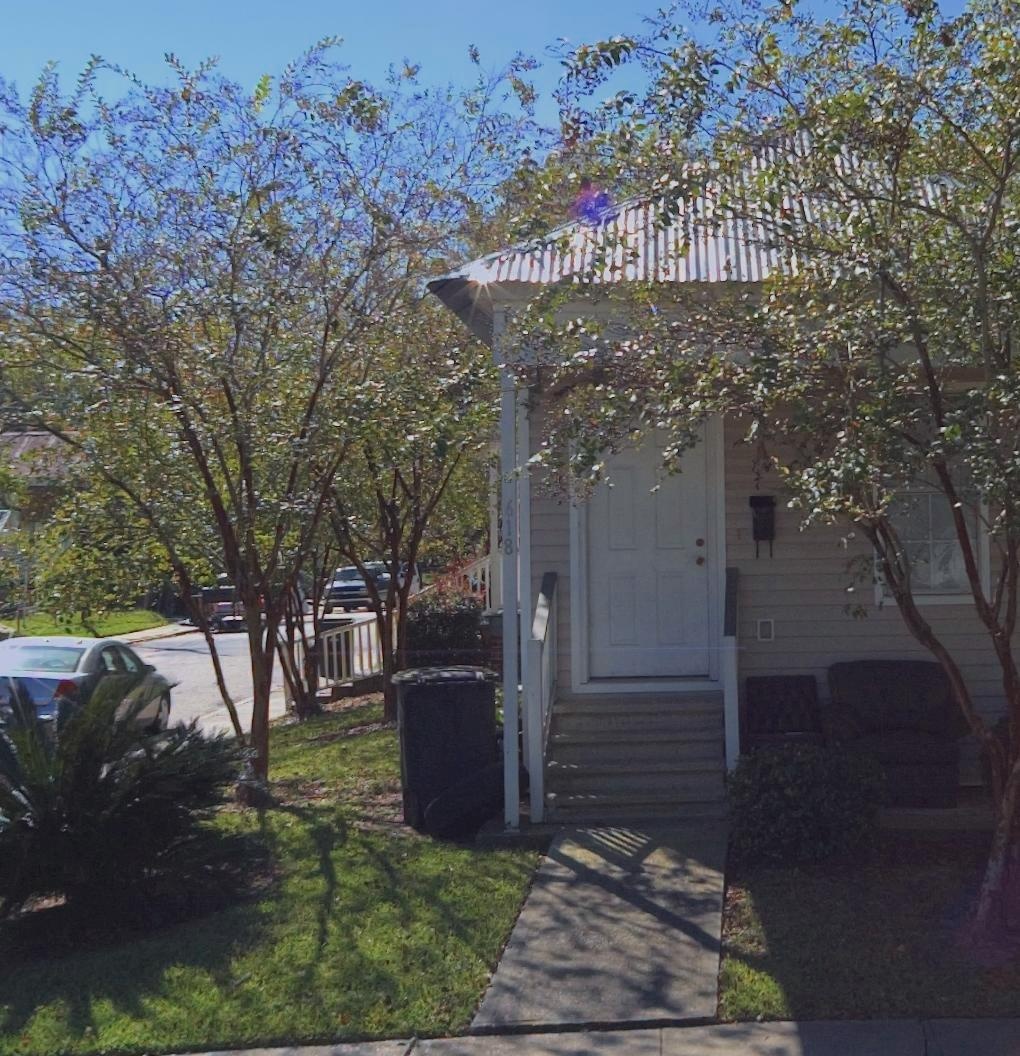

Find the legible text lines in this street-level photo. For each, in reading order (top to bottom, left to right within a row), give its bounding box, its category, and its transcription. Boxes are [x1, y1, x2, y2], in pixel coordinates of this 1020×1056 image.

[503, 498, 516, 557] StreetNumber: 618